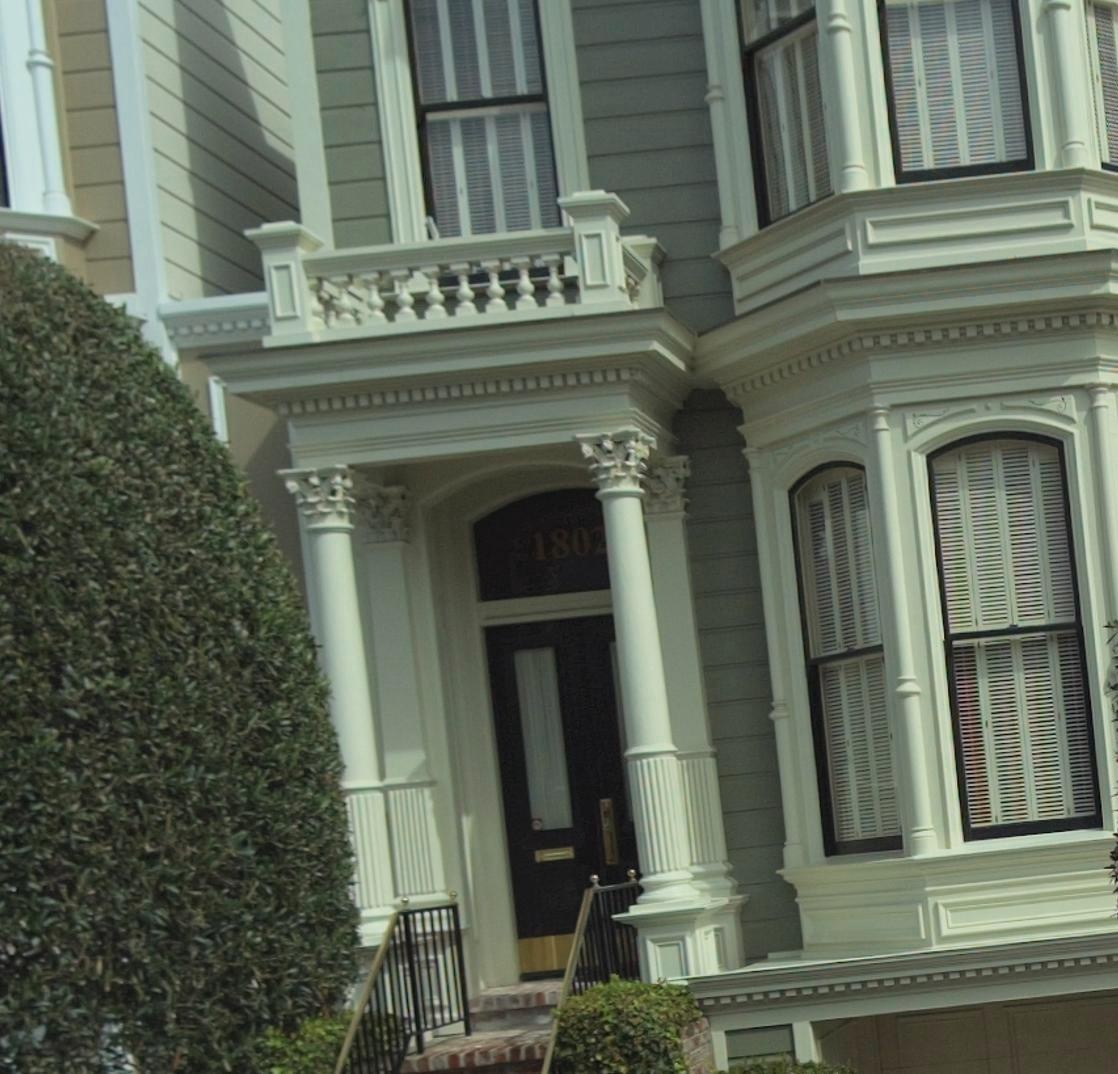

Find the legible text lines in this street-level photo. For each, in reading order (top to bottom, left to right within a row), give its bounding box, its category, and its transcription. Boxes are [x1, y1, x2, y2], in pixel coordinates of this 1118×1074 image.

[529, 521, 612, 564] StreetNumber: 180*